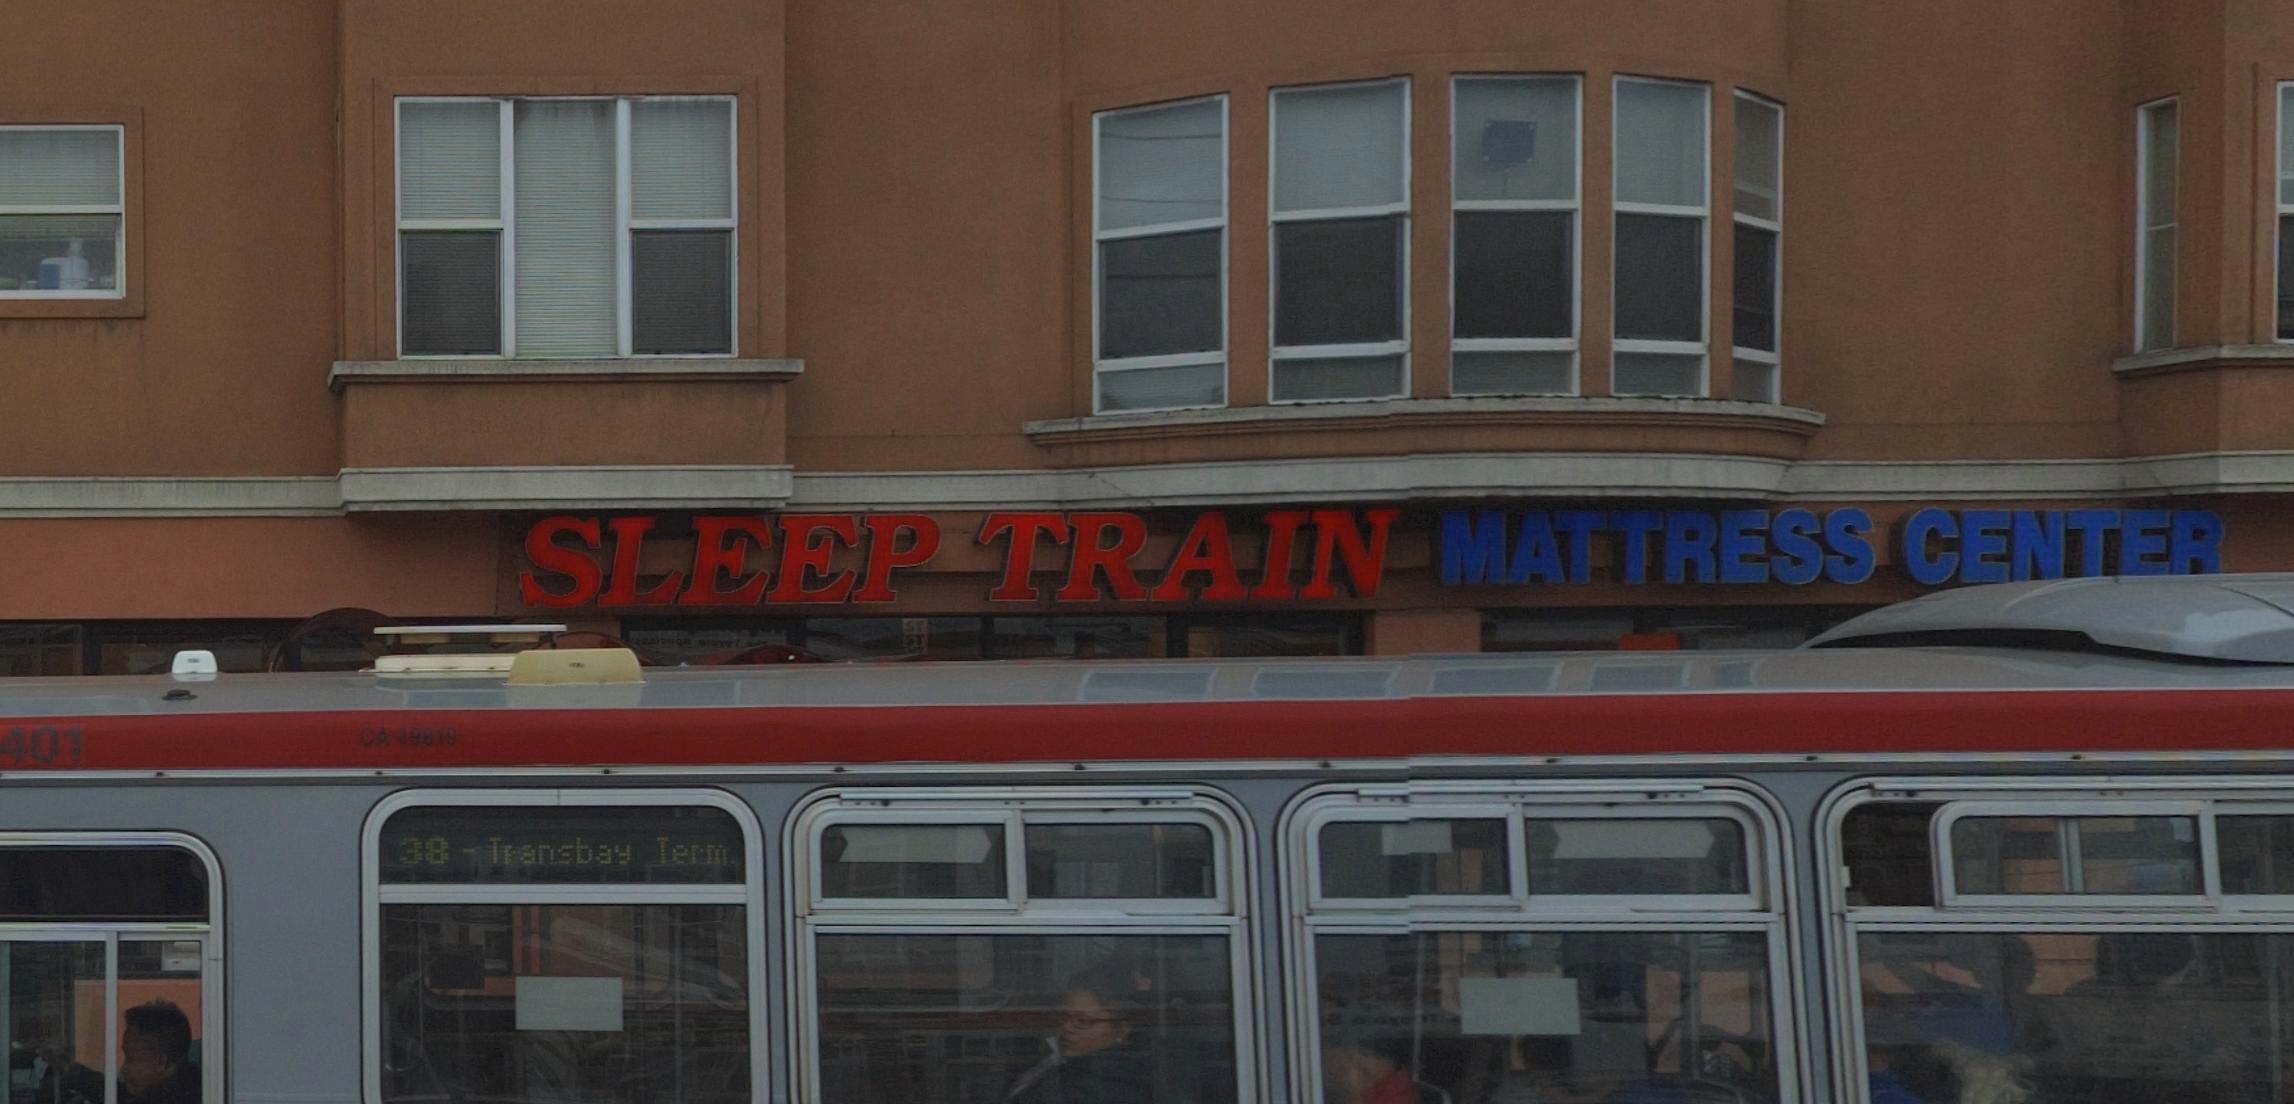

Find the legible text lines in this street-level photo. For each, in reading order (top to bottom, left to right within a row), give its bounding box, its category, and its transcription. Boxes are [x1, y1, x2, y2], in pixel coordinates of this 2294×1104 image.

[500, 500, 2253, 604] BusinessName: SLEEP TRAIN MATTRESS CENTER
[28, 723, 86, 765] None: 01
[356, 723, 461, 750] None: CA 49819
[395, 833, 733, 870] None: 38-Transbay Term